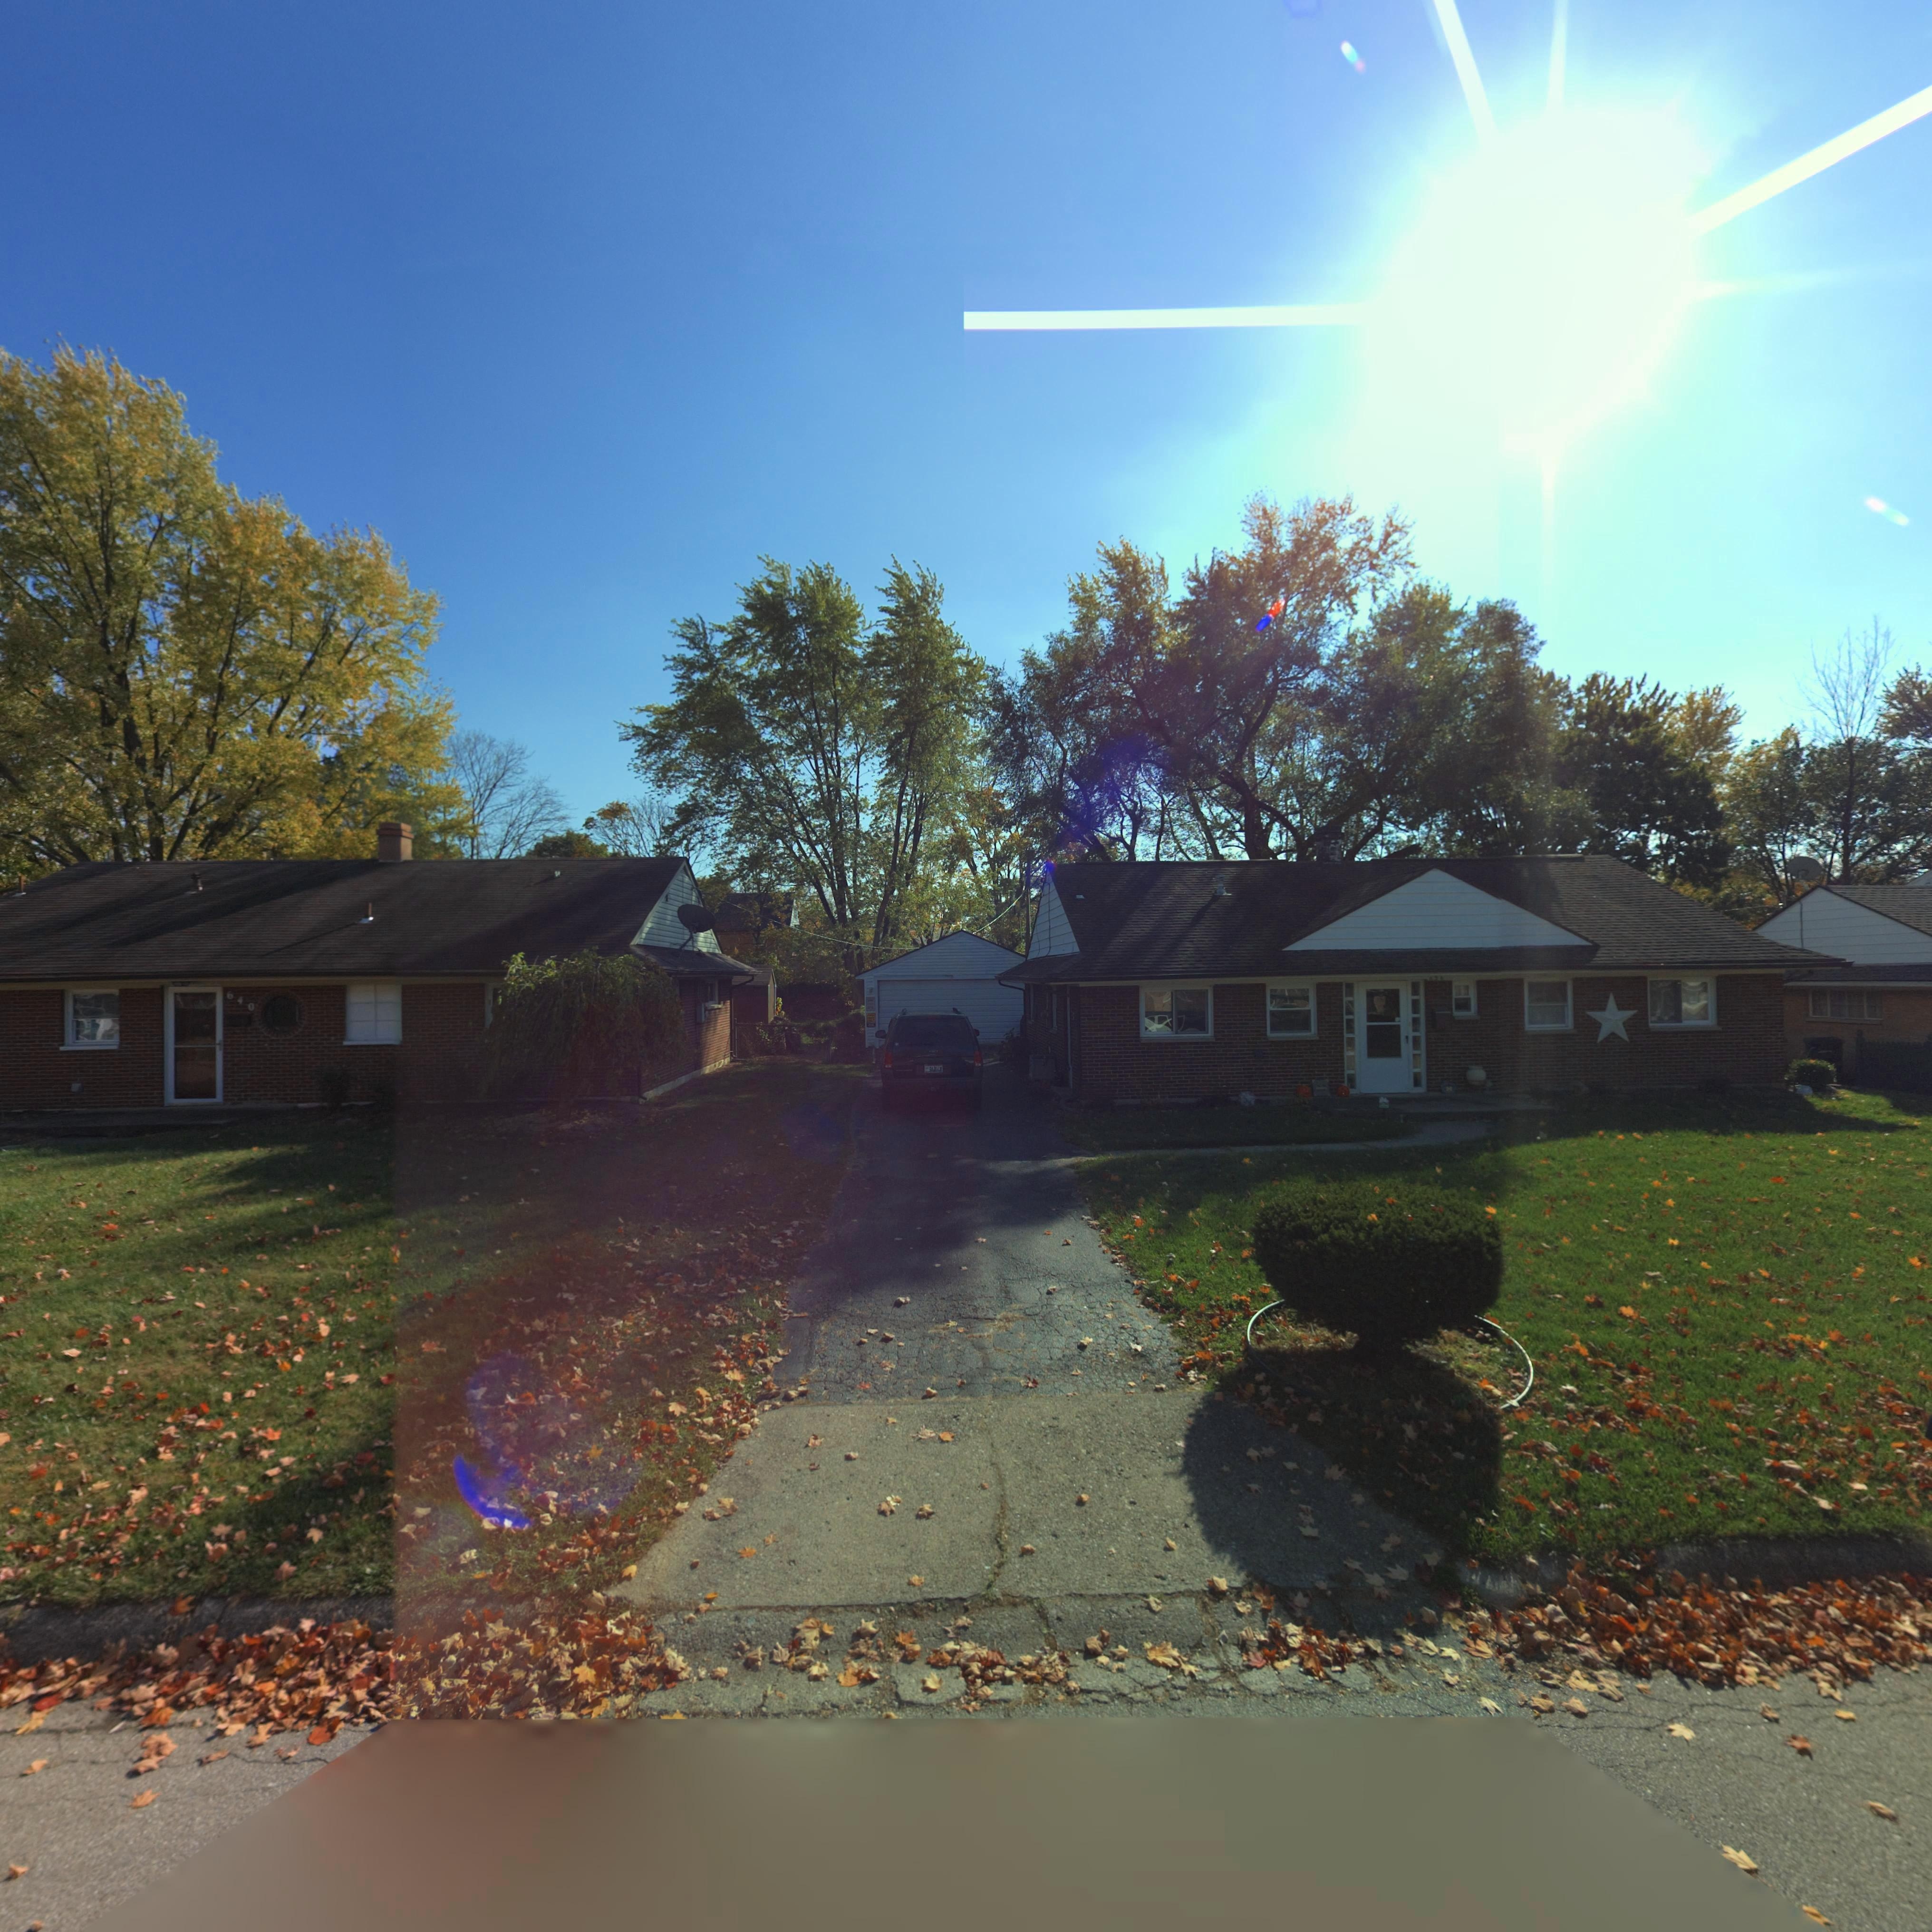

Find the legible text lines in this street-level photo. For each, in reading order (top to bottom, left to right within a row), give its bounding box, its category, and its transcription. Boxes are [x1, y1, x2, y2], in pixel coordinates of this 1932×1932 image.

[225, 989, 256, 1013] StreetNumber: 640